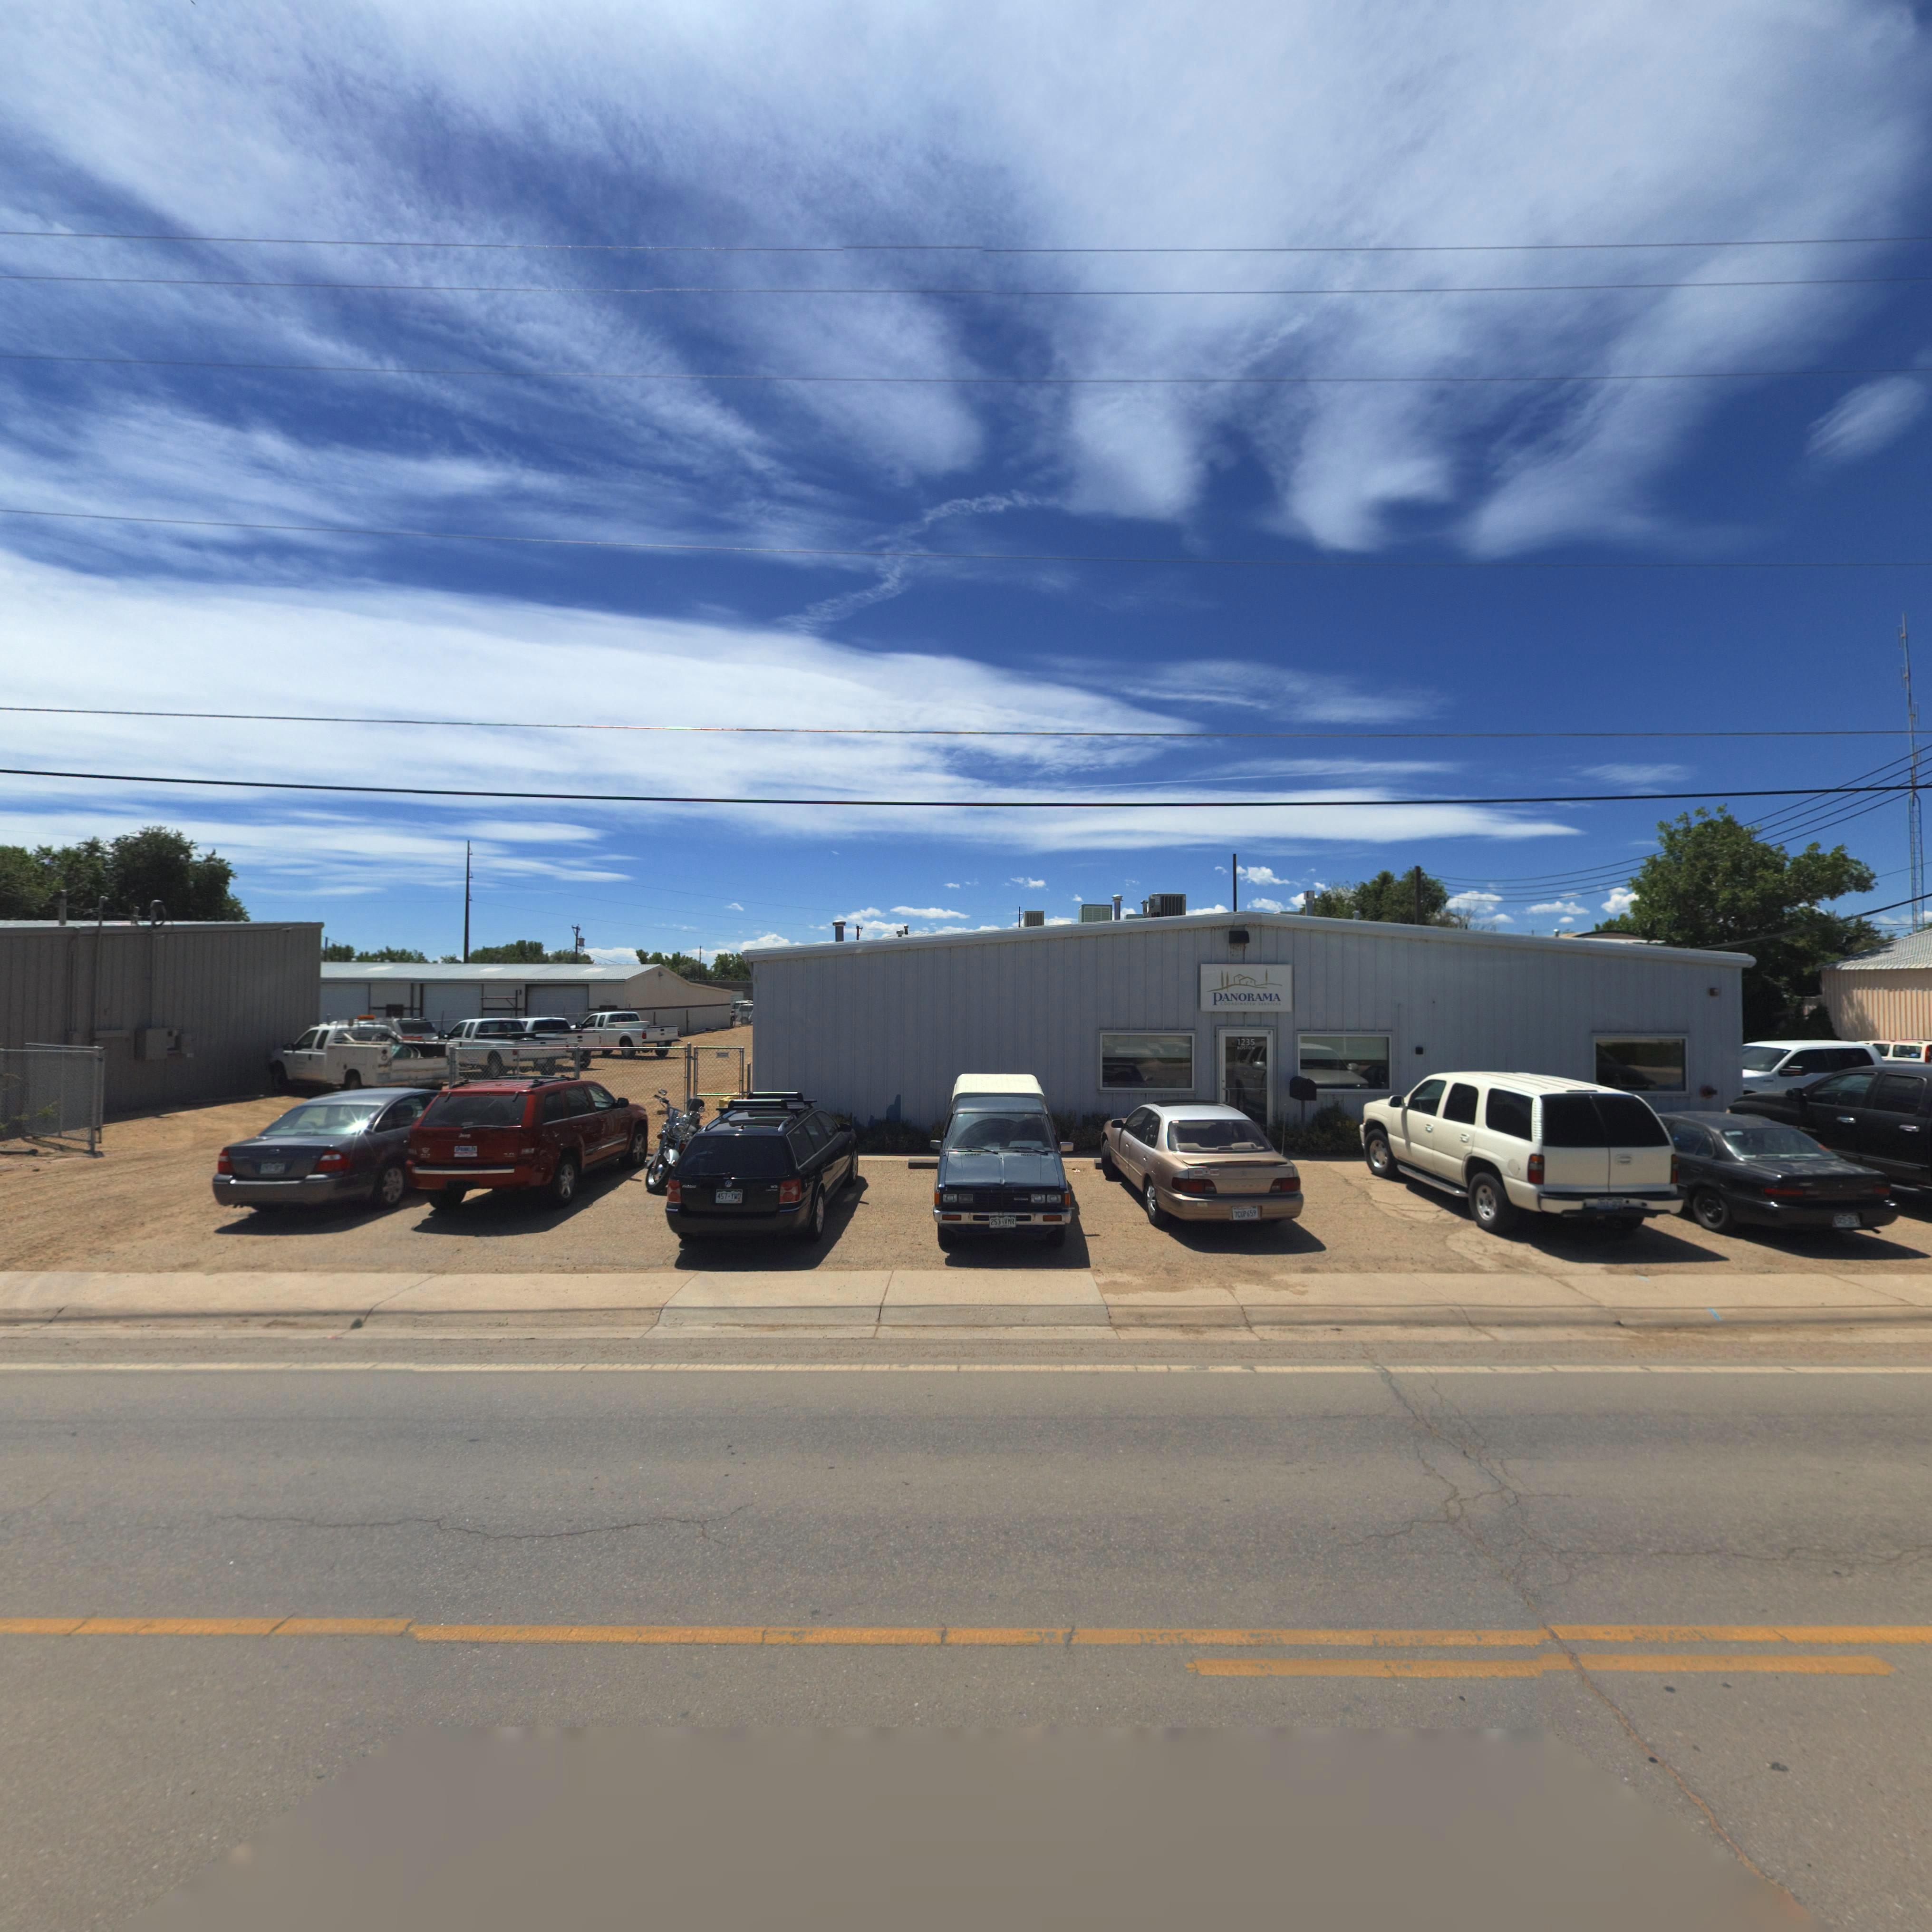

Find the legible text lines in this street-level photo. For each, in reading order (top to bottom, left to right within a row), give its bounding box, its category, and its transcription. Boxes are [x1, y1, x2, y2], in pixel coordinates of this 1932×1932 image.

[1211, 991, 1281, 1006] BusinessName: PANORAMA
[1220, 1001, 1281, 1006] BusinessName: COORDINA**D ****IC**
[1237, 1038, 1255, 1046] StreetNumber: 1235
[1236, 1046, 1255, 1050] StreetName: BOSTON